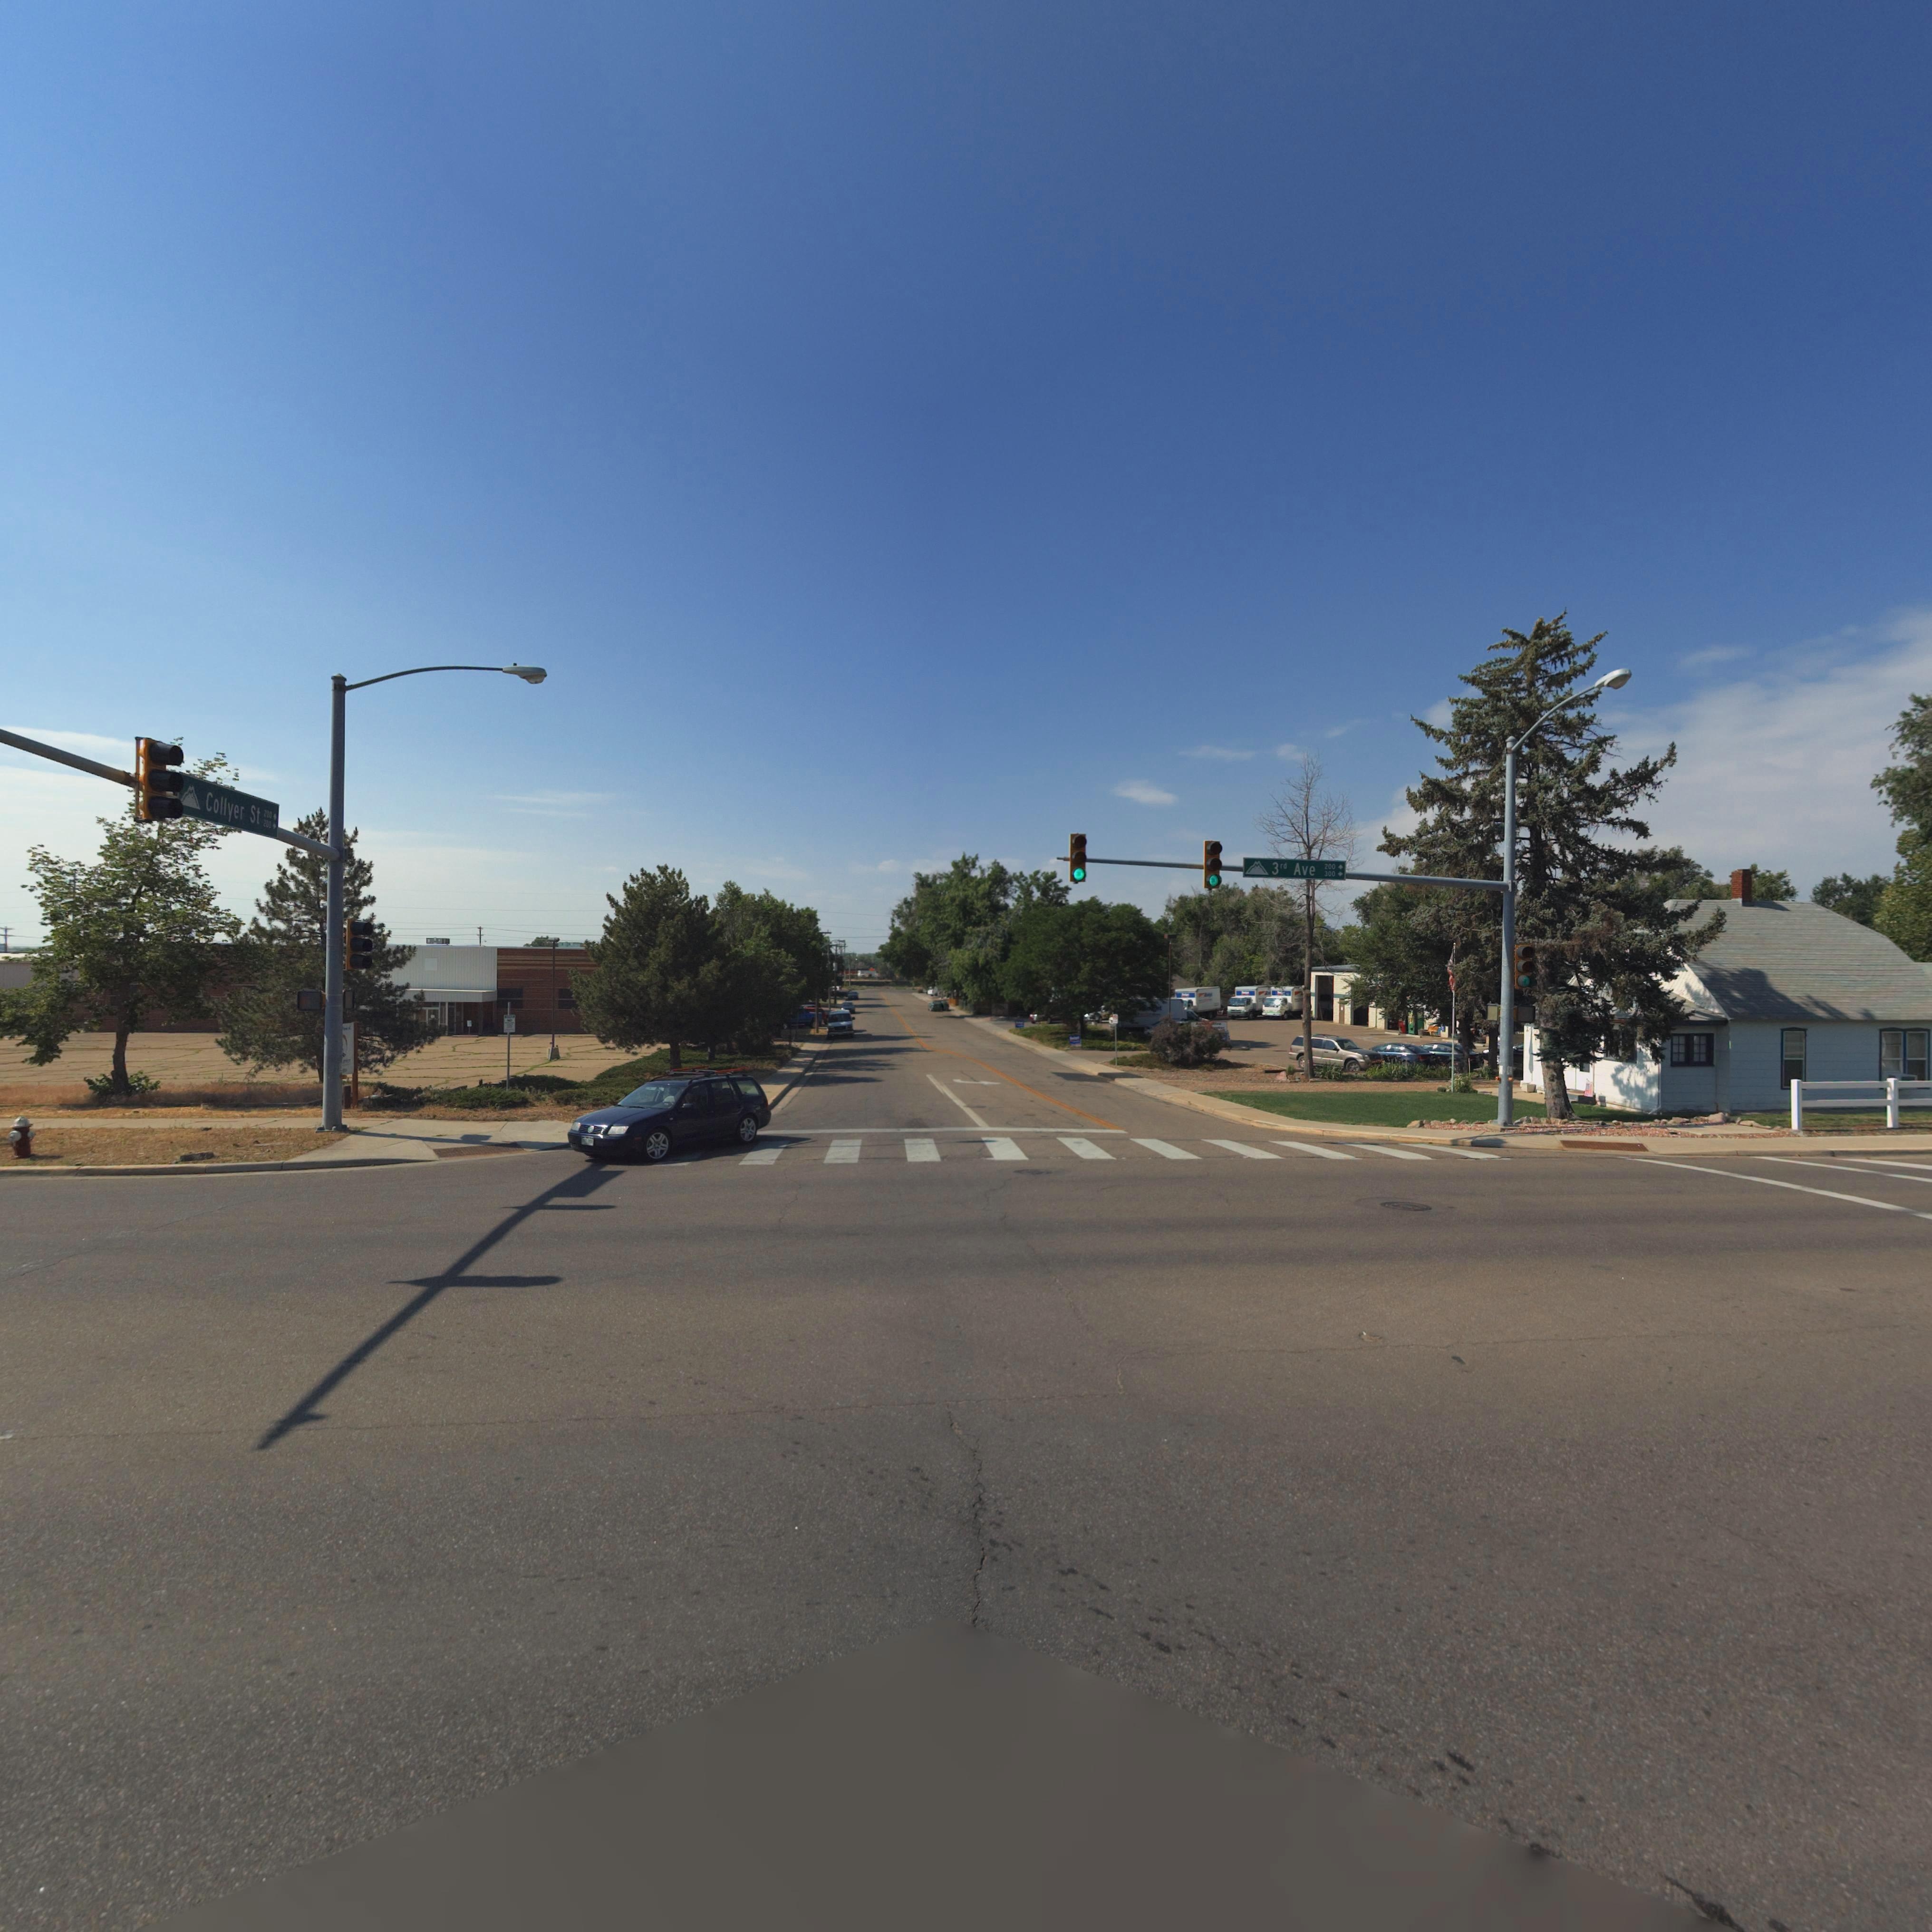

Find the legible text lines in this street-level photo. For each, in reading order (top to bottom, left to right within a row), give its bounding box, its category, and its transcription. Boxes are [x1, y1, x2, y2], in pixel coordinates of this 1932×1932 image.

[204, 790, 261, 825] StreetName: Collyer St
[263, 809, 273, 819] StreetNumberRange: 200
[262, 819, 276, 829] StreetNumberRange: 200->
[1271, 861, 1315, 876] StreetName: 3rd Ave
[1323, 863, 1335, 869] StreetNumberRange: 200
[1324, 870, 1344, 877] StreetNumberRange: 300->